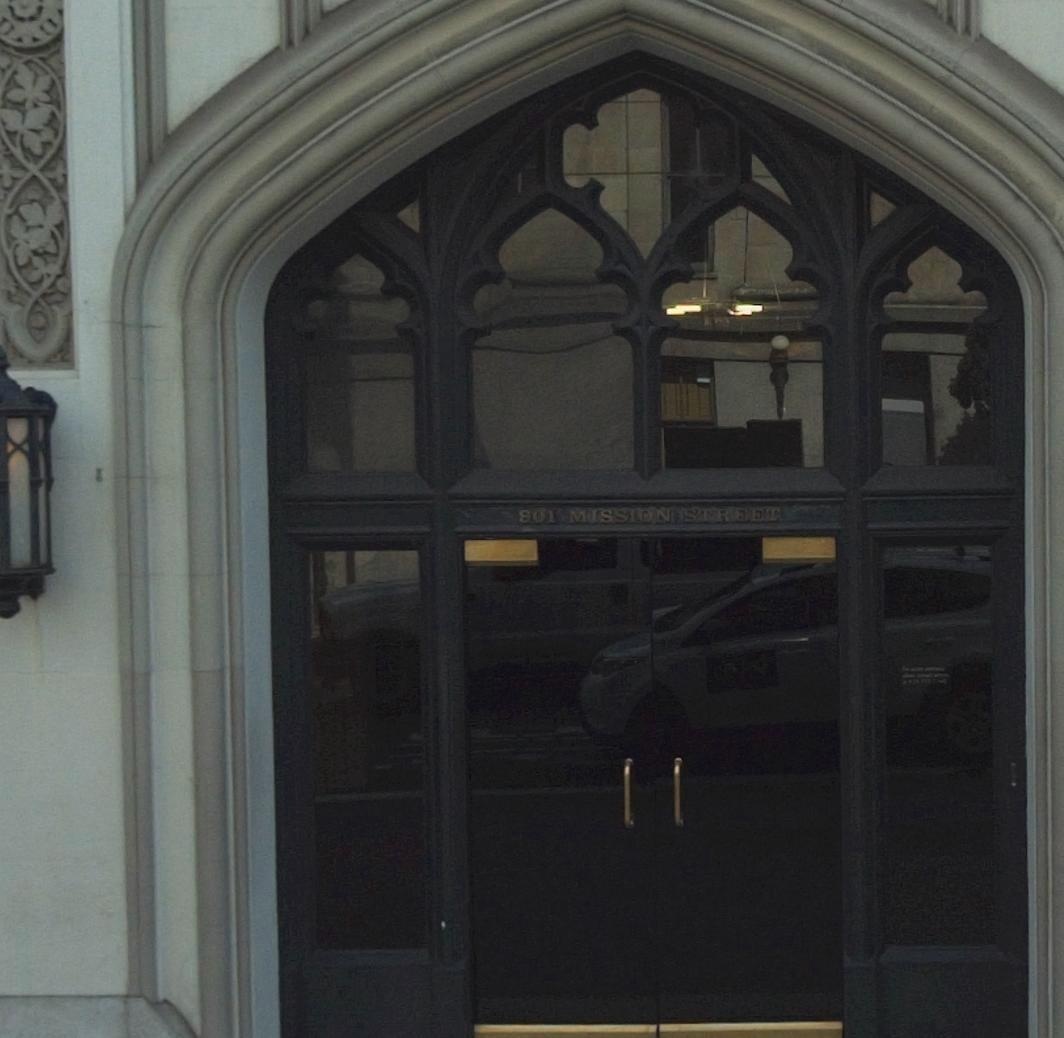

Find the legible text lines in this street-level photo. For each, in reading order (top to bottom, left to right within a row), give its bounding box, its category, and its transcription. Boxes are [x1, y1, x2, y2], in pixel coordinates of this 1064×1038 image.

[514, 505, 558, 529] StreetNumber: 901
[565, 503, 785, 528] StreetName: MISSION STREET